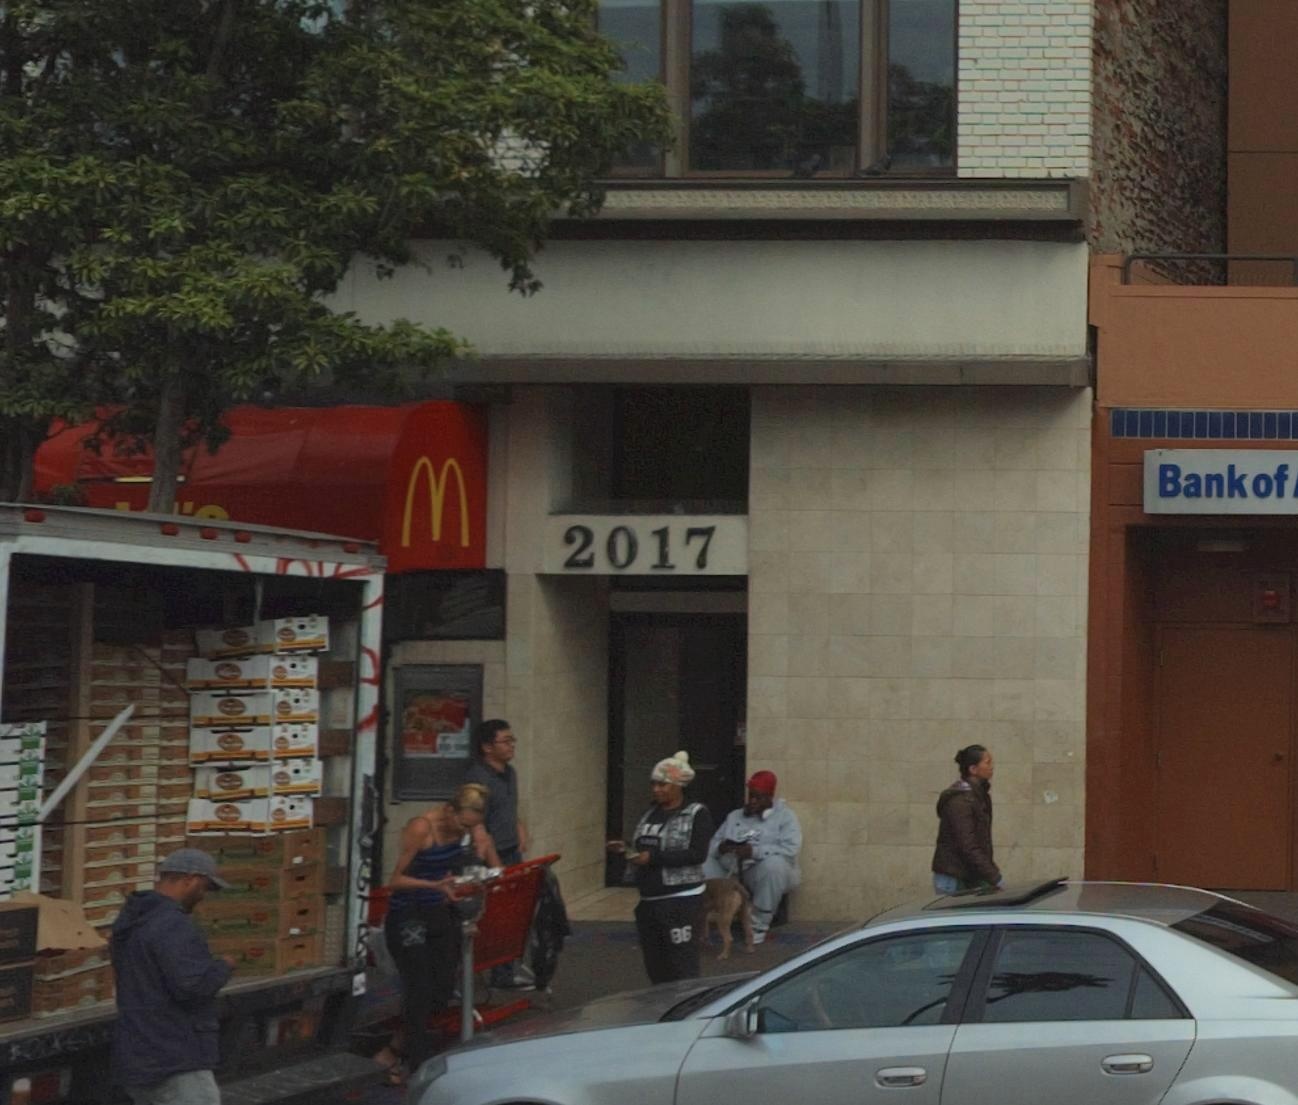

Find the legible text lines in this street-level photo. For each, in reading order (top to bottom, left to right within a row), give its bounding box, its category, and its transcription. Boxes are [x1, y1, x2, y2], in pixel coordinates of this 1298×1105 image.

[1156, 461, 1291, 502] None: Bank of
[560, 521, 717, 573] StreetNumber: 2017